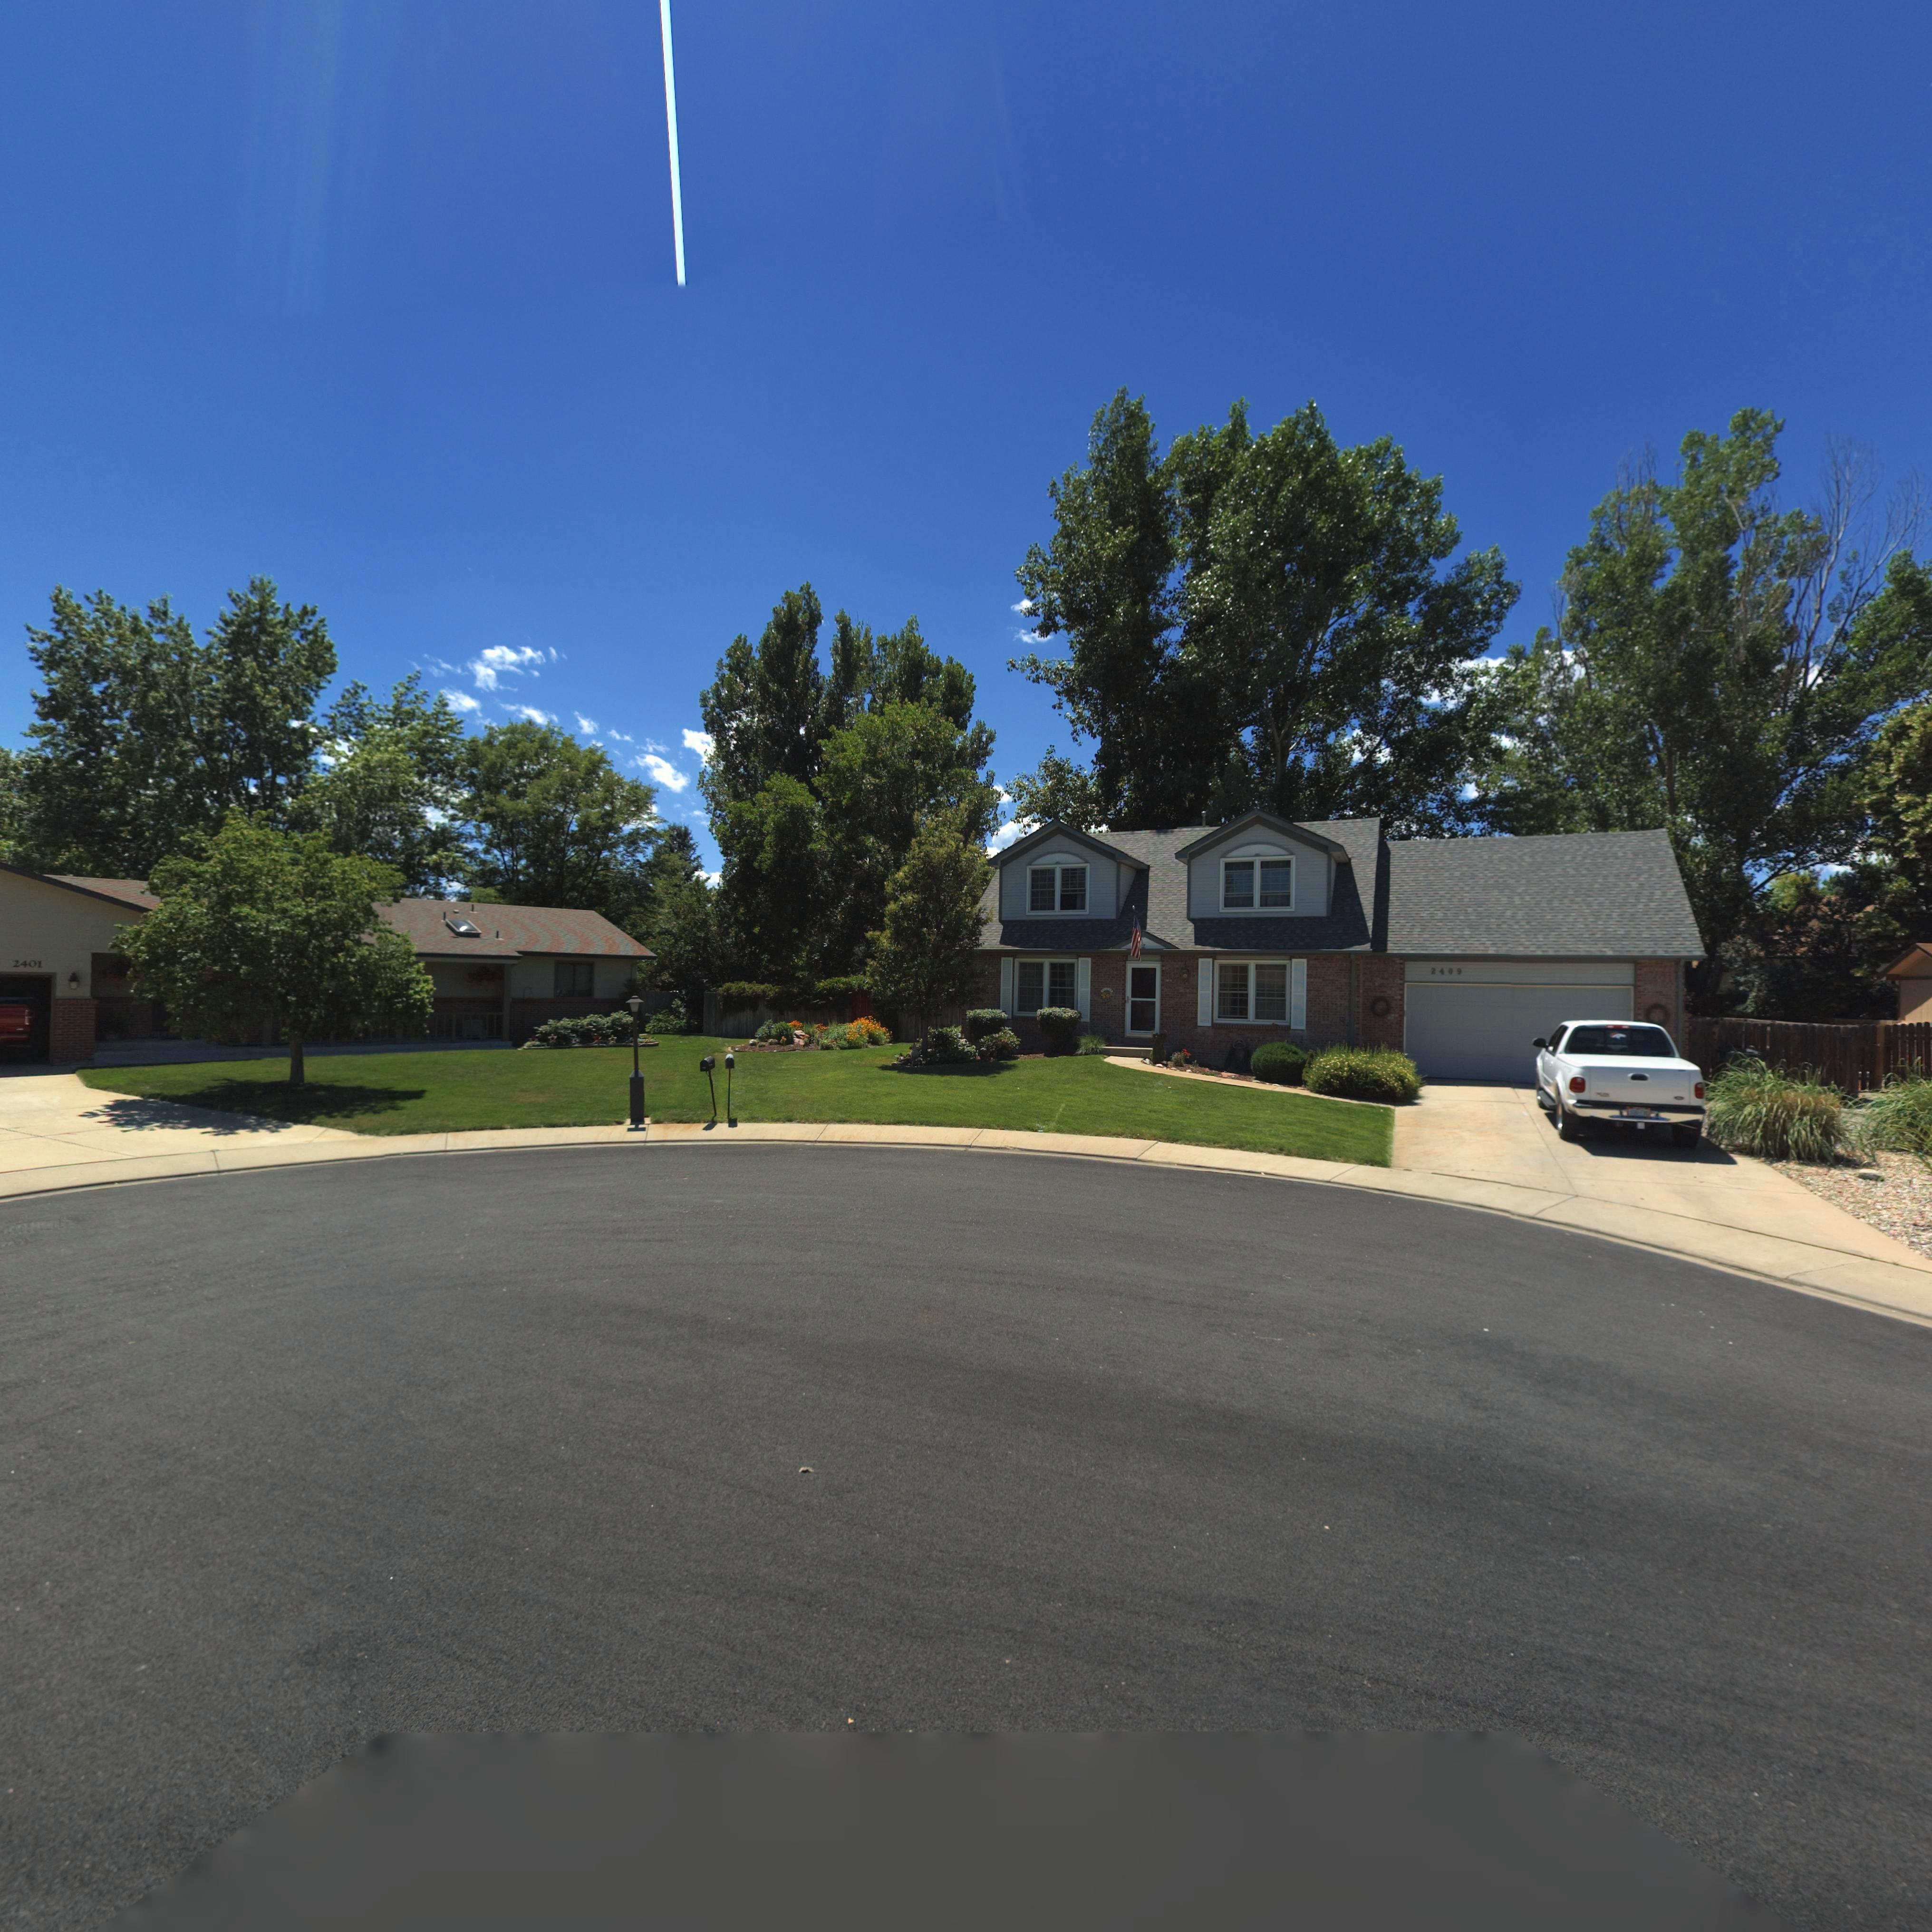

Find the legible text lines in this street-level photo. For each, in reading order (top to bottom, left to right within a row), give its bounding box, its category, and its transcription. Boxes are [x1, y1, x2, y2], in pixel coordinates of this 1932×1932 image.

[12, 959, 42, 968] StreetNumber: 2401
[1430, 967, 1461, 975] StreetNumber: 2409